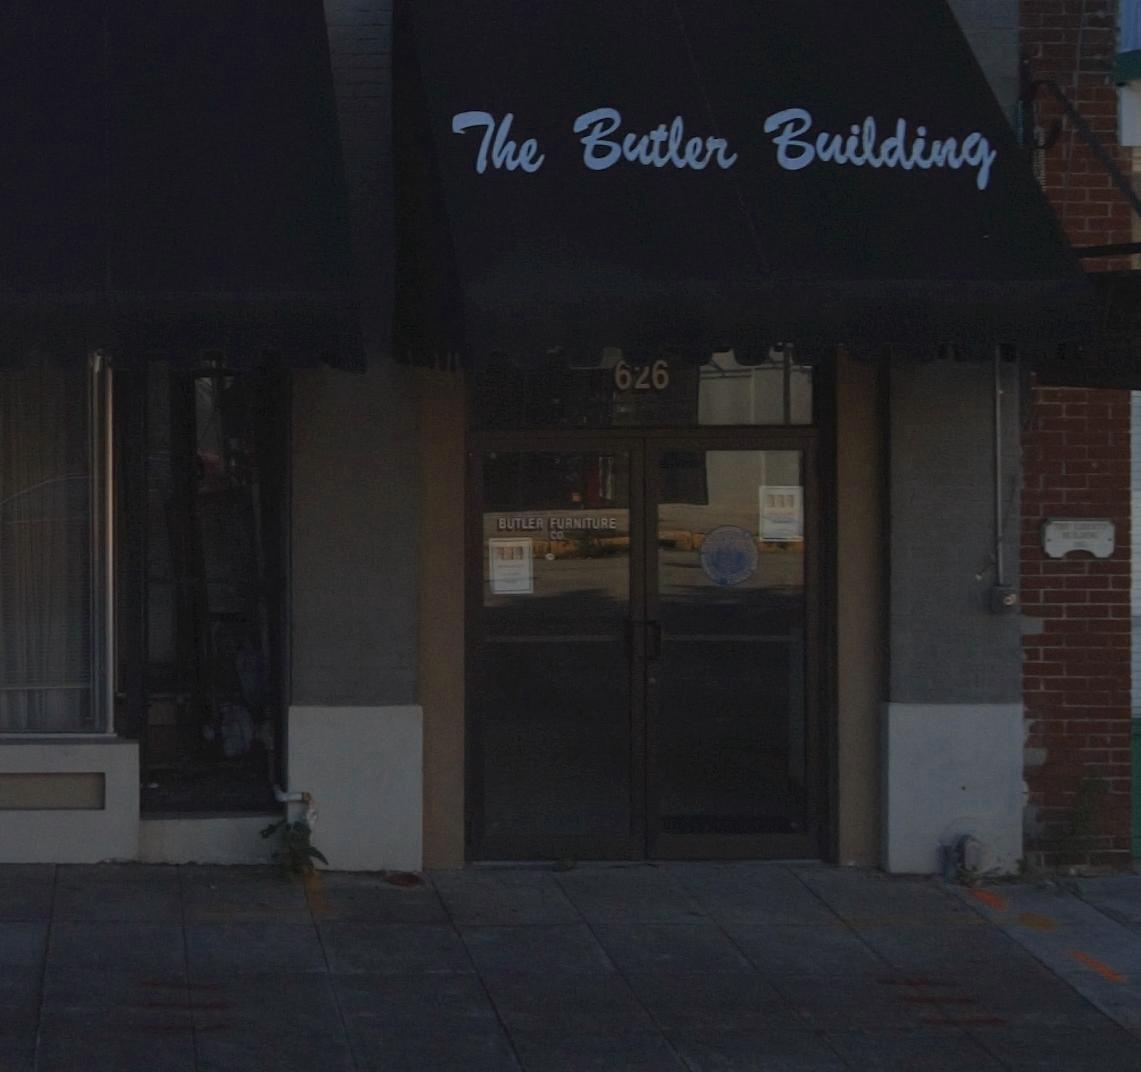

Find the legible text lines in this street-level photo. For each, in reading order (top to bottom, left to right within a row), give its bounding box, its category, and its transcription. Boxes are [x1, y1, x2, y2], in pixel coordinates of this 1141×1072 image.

[444, 100, 998, 192] BusinessName: The Butler Building
[611, 356, 675, 392] StreetNumber: 6*6
[548, 529, 563, 540] BusinessName: CO
[496, 516, 618, 531] BusinessName: BUTLER FURNITURE